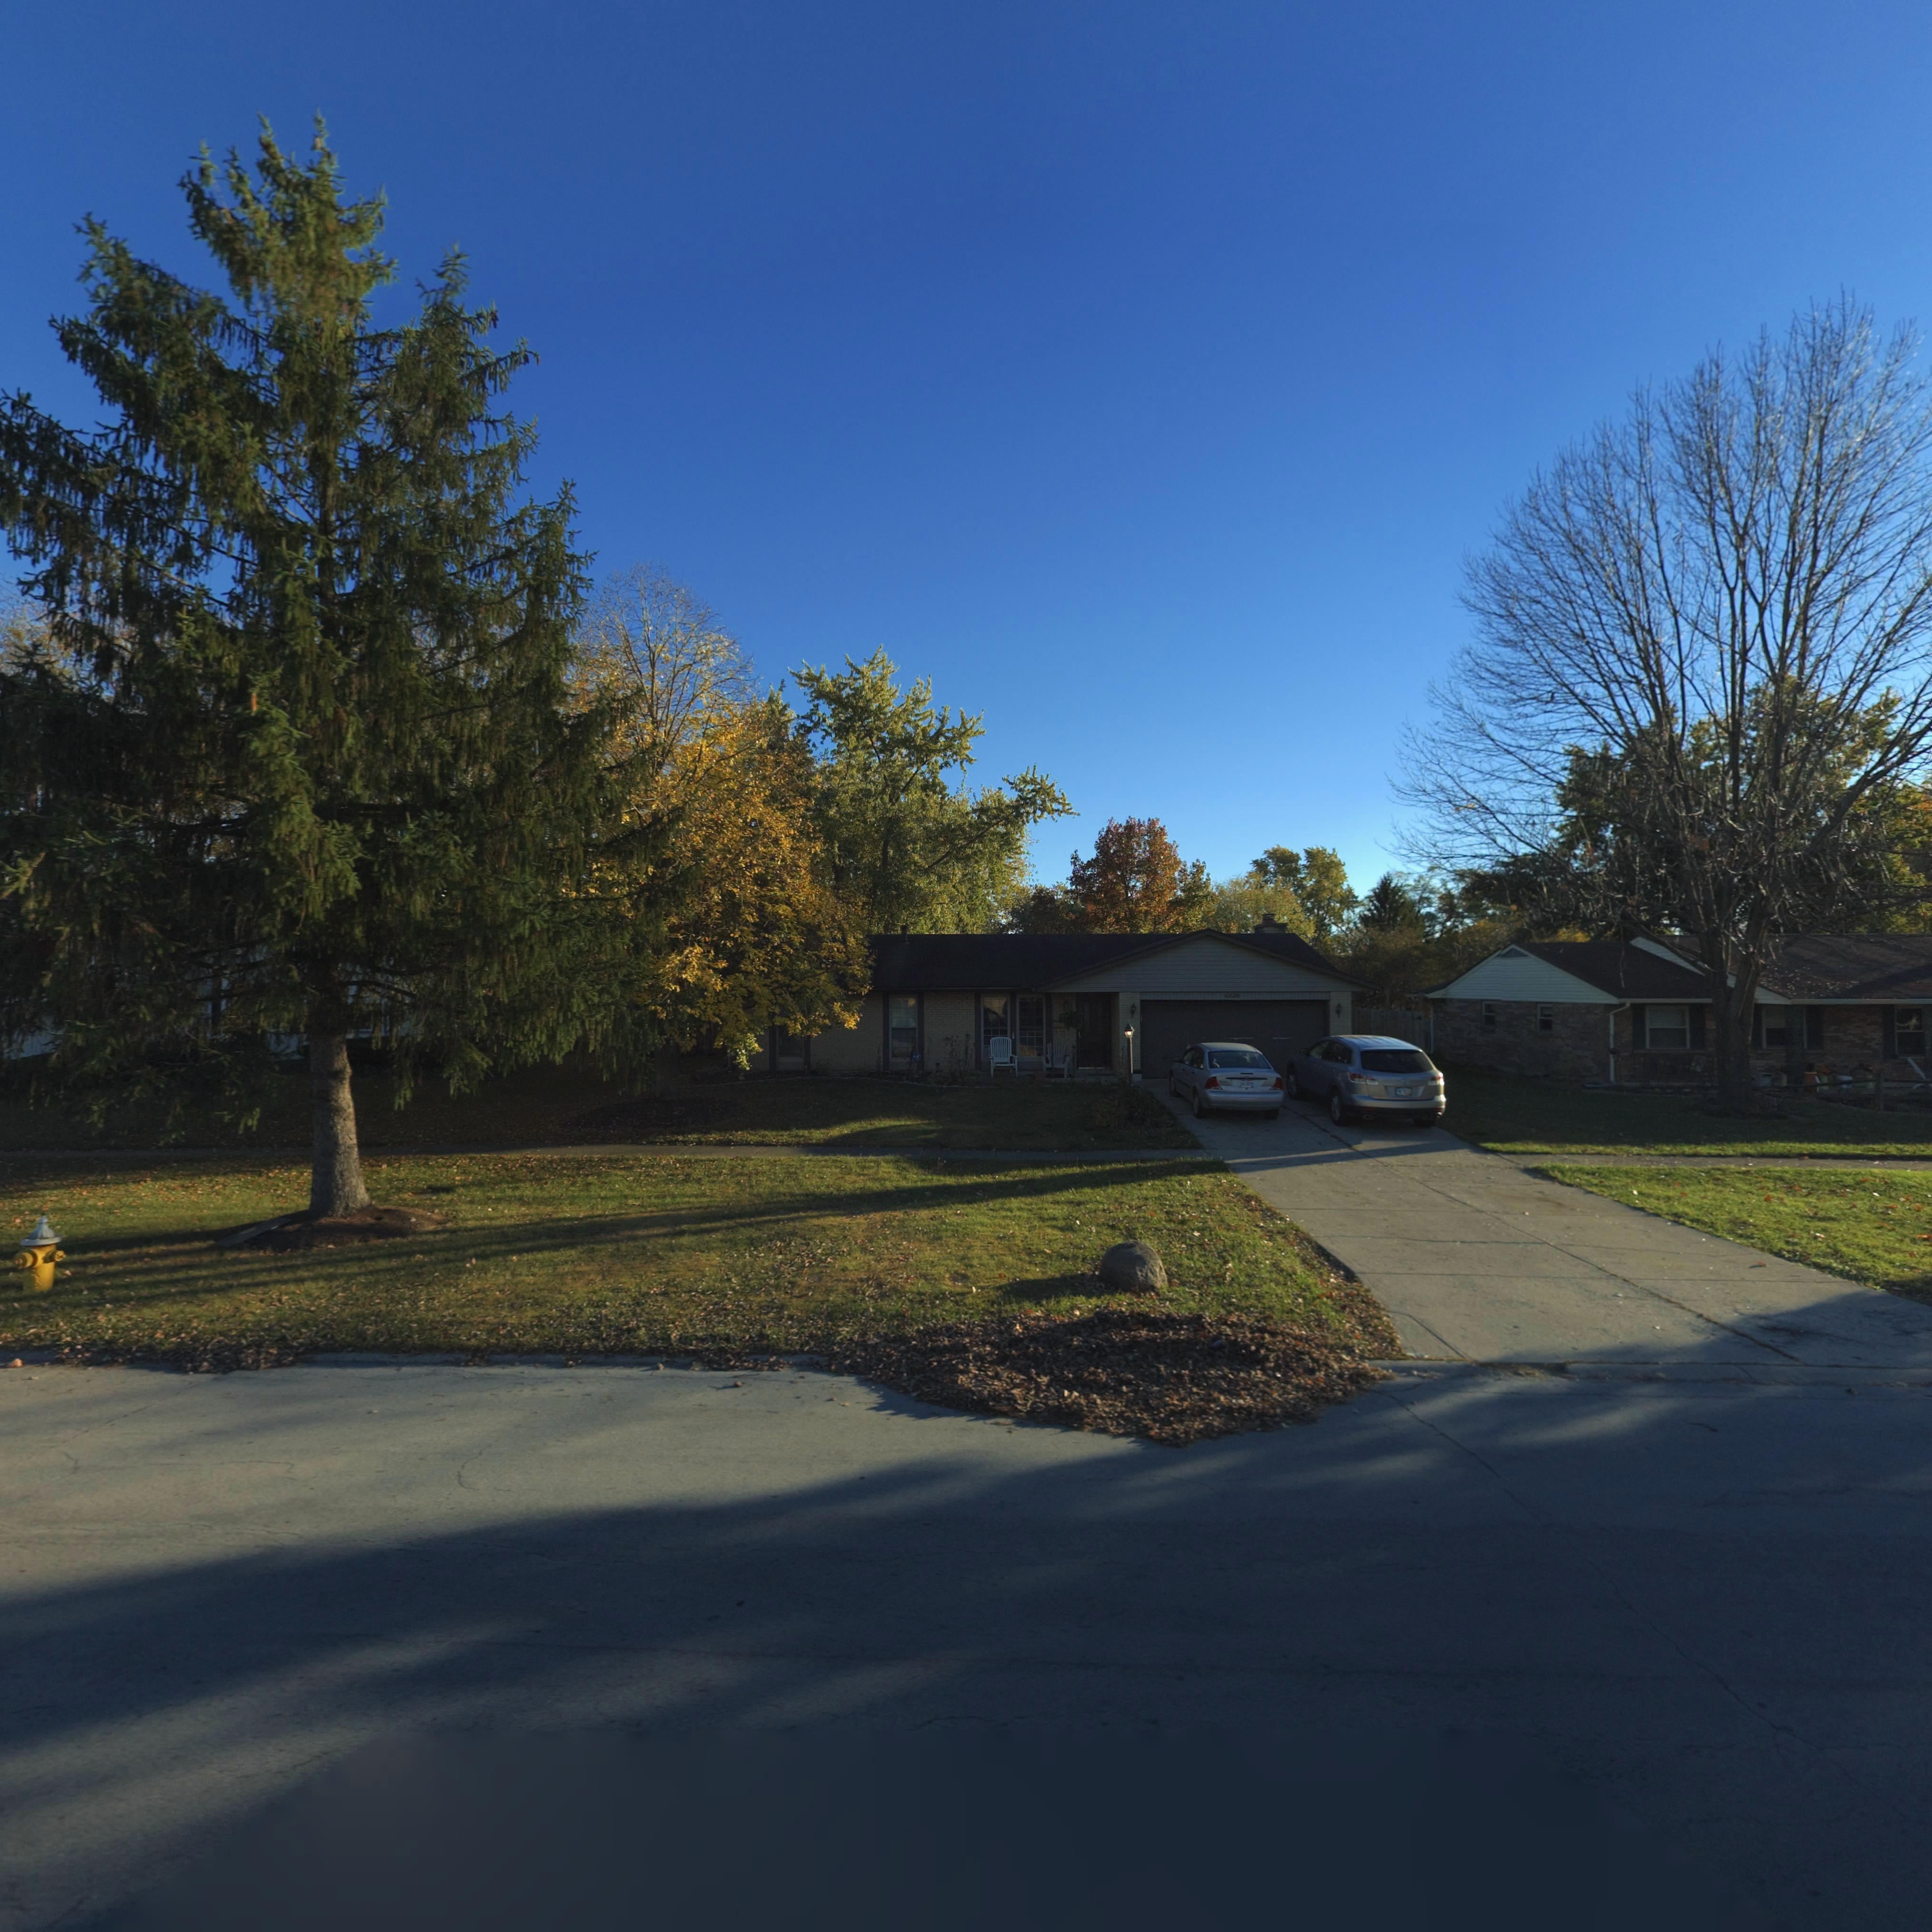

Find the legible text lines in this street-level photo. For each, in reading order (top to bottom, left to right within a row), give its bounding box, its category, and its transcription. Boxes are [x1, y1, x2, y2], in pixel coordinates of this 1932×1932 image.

[1224, 993, 1241, 998] StreetNumber: 4928